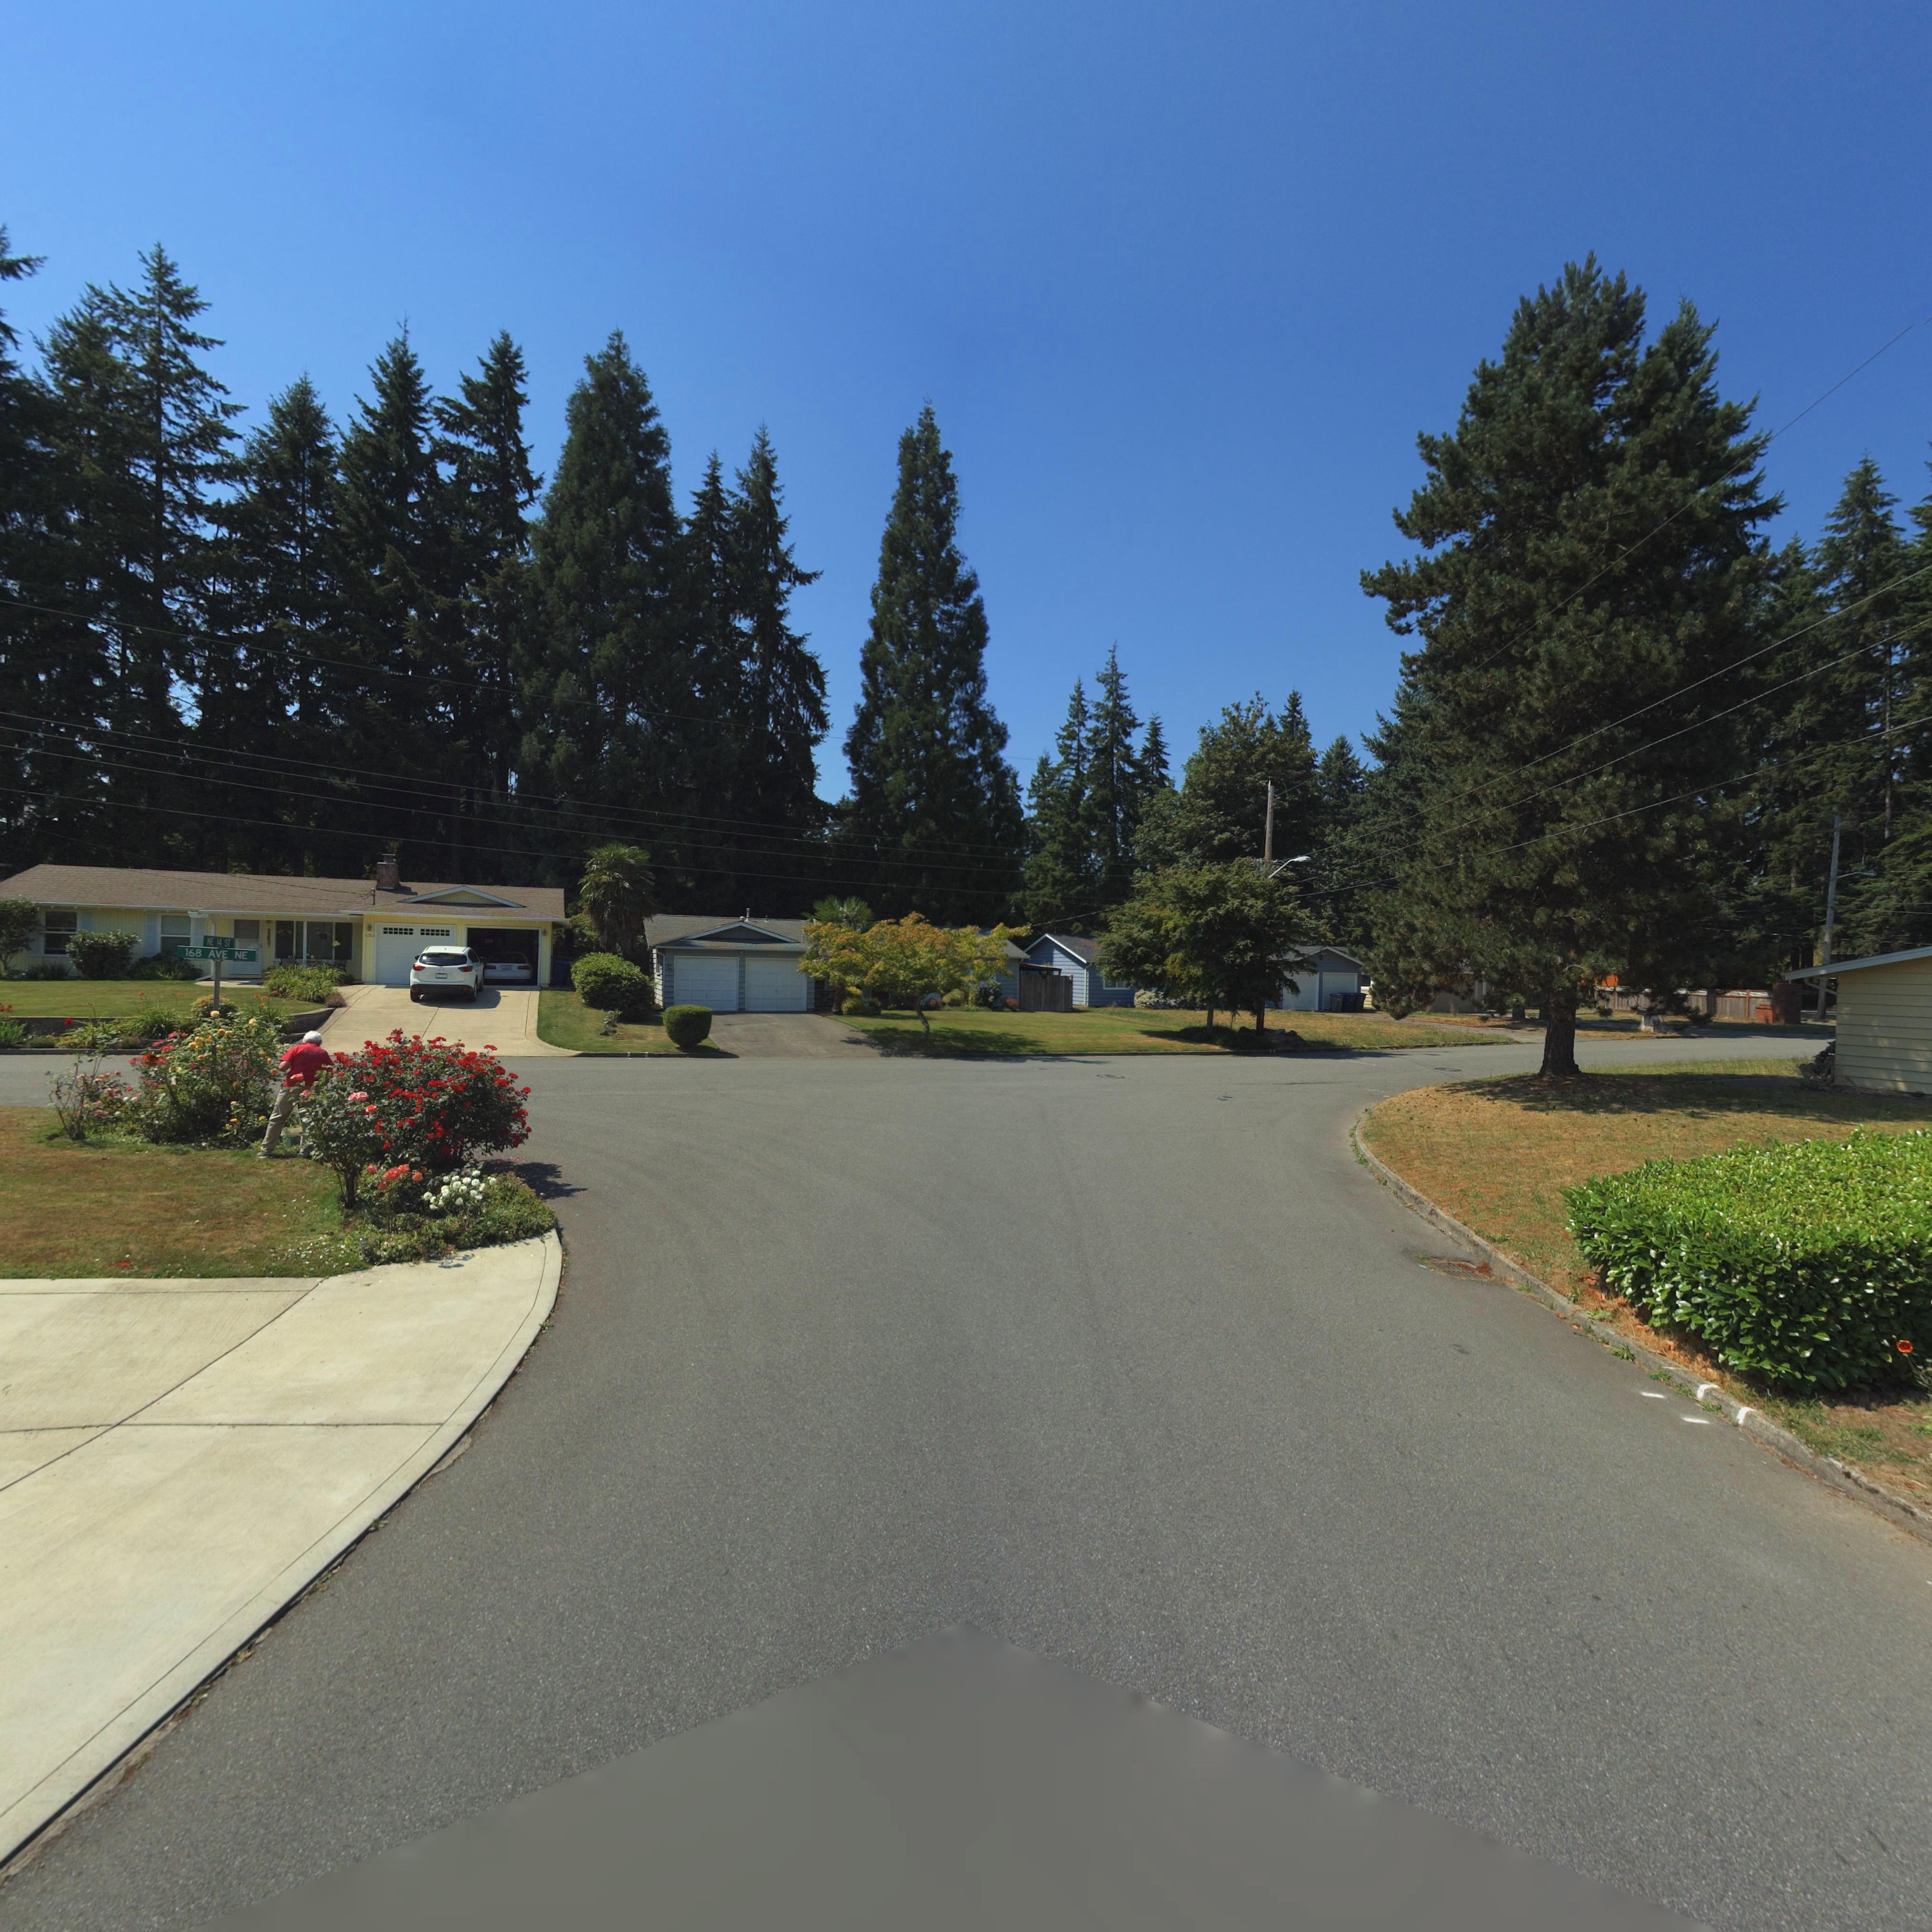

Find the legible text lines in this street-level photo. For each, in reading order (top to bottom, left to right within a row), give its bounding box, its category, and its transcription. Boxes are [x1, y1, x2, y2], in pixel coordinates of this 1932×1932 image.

[205, 936, 231, 947] StreetName: NE 14 ST
[185, 947, 248, 960] StreetName: 168 AVE NE